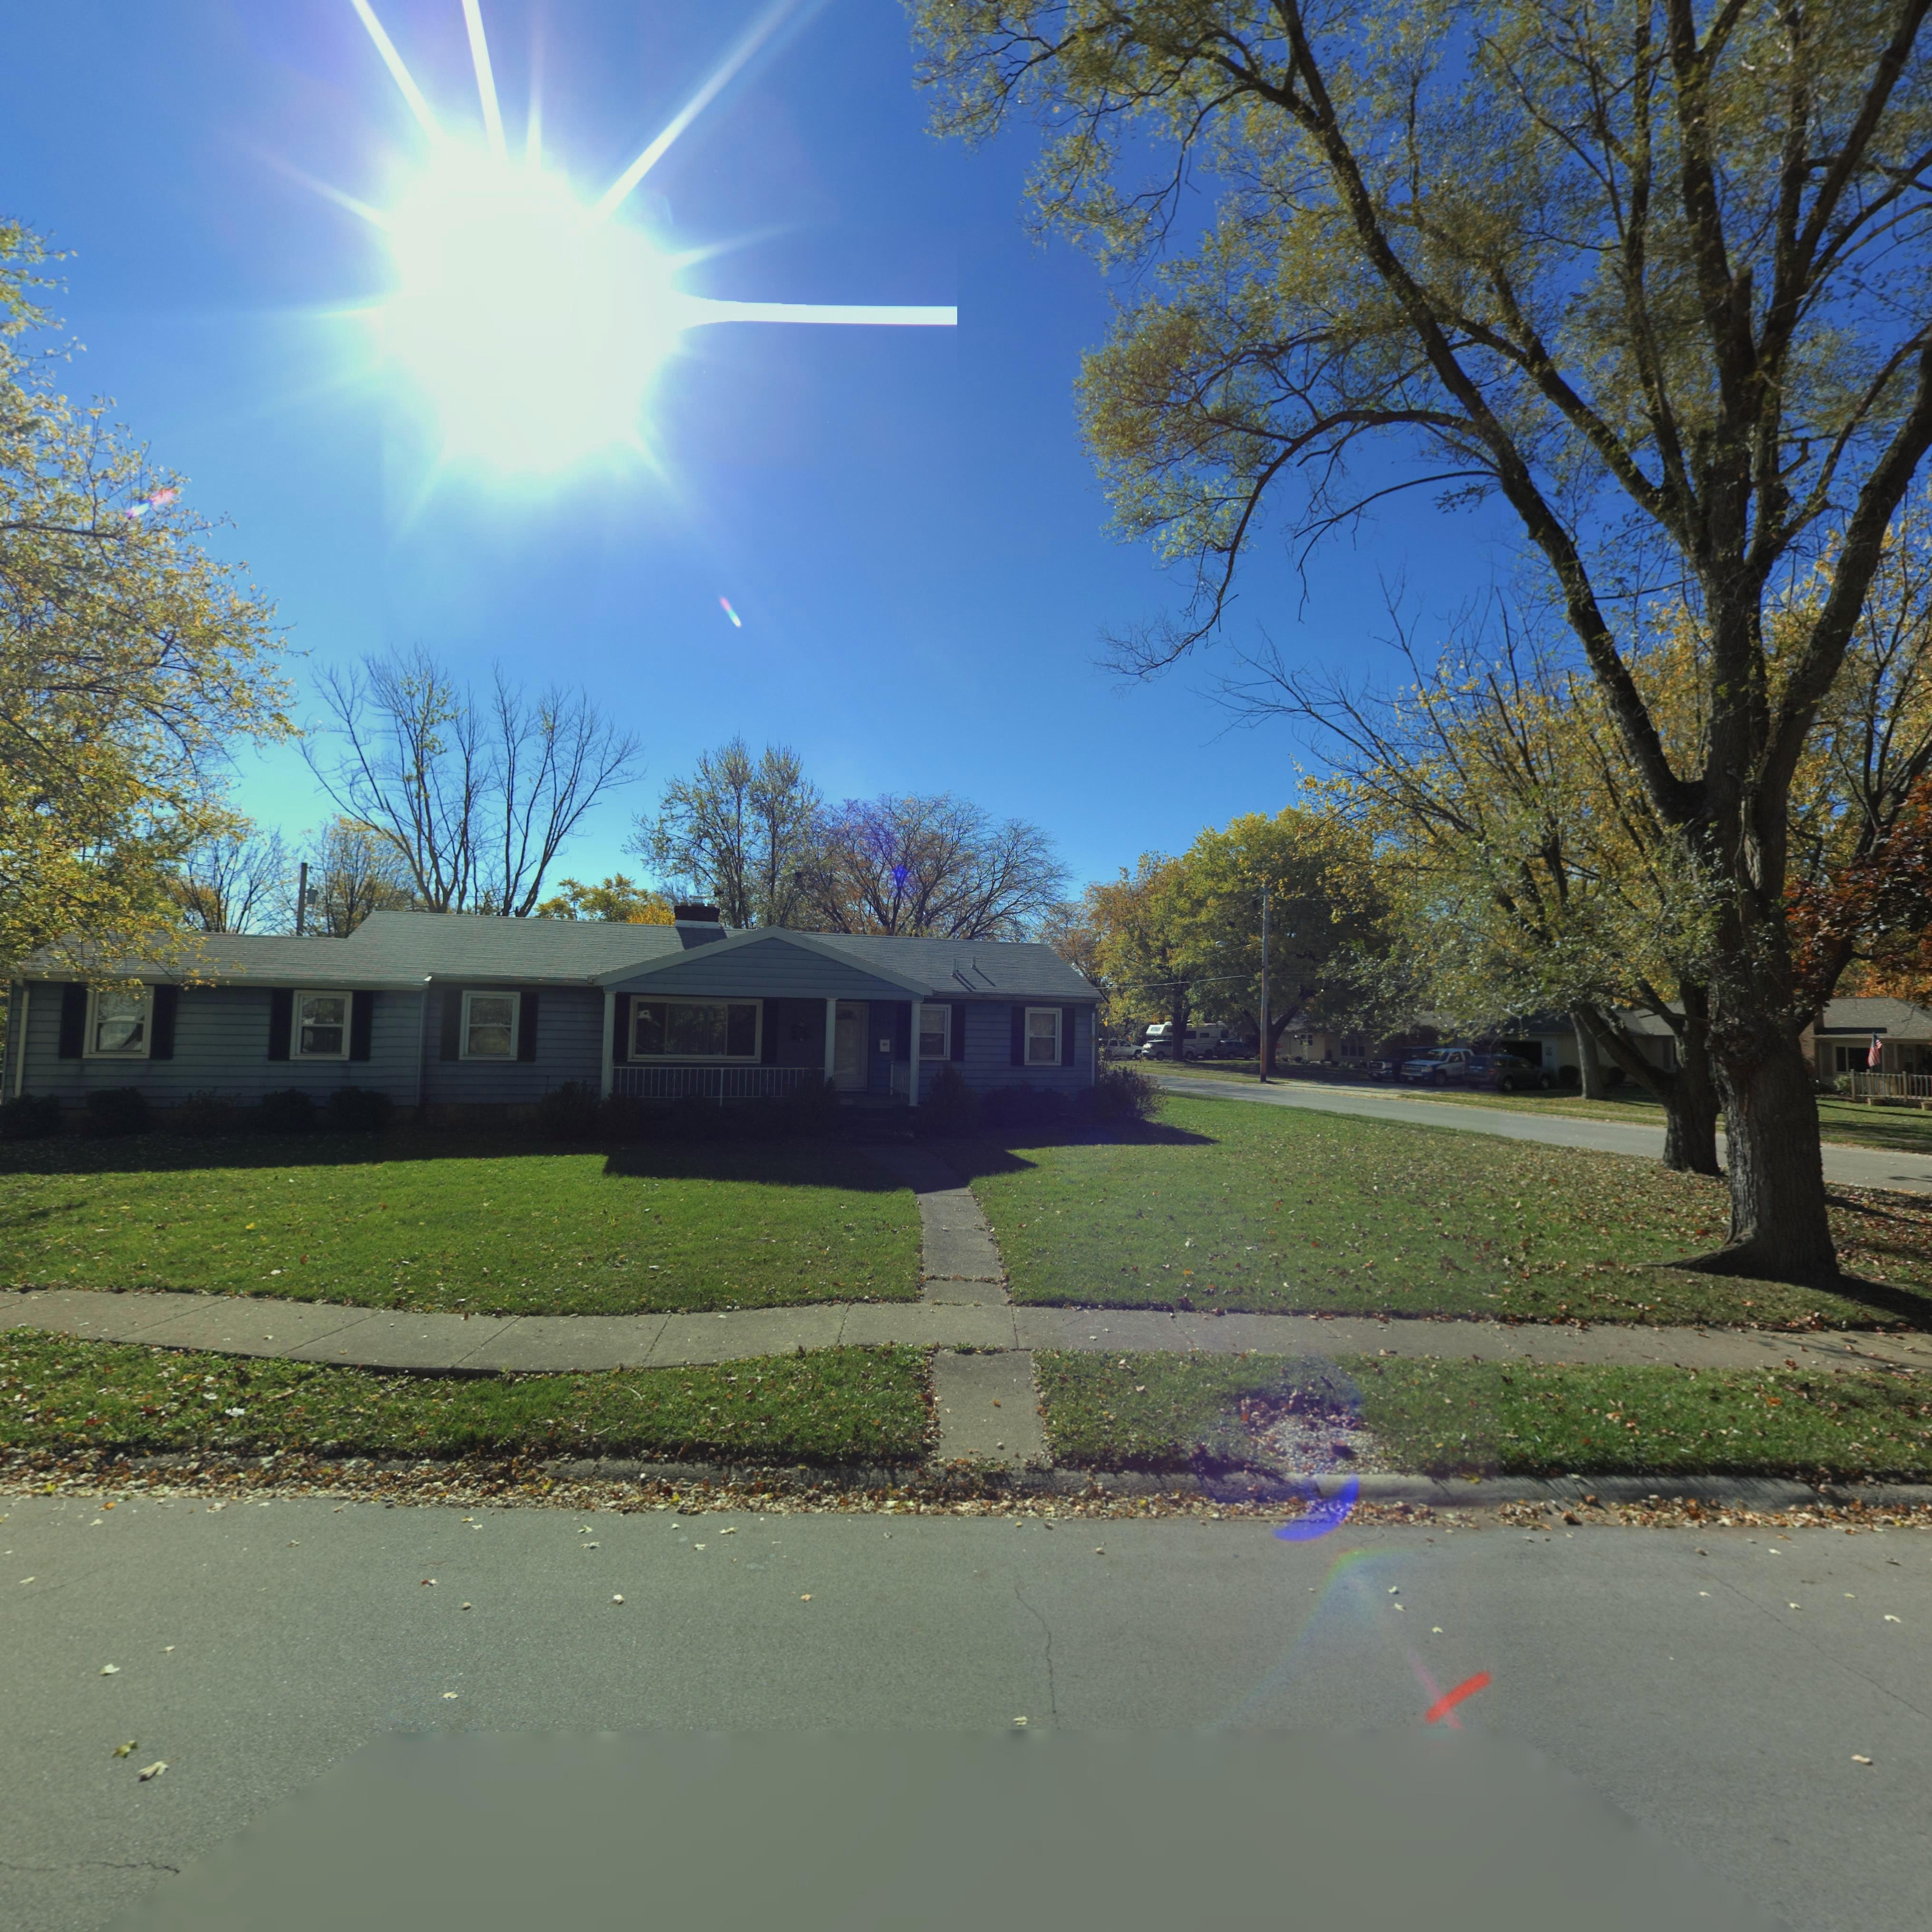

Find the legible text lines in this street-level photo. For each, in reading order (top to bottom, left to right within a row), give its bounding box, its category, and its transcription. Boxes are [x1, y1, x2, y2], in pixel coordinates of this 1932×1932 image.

[875, 1020, 892, 1027] StreetNumber: 21*